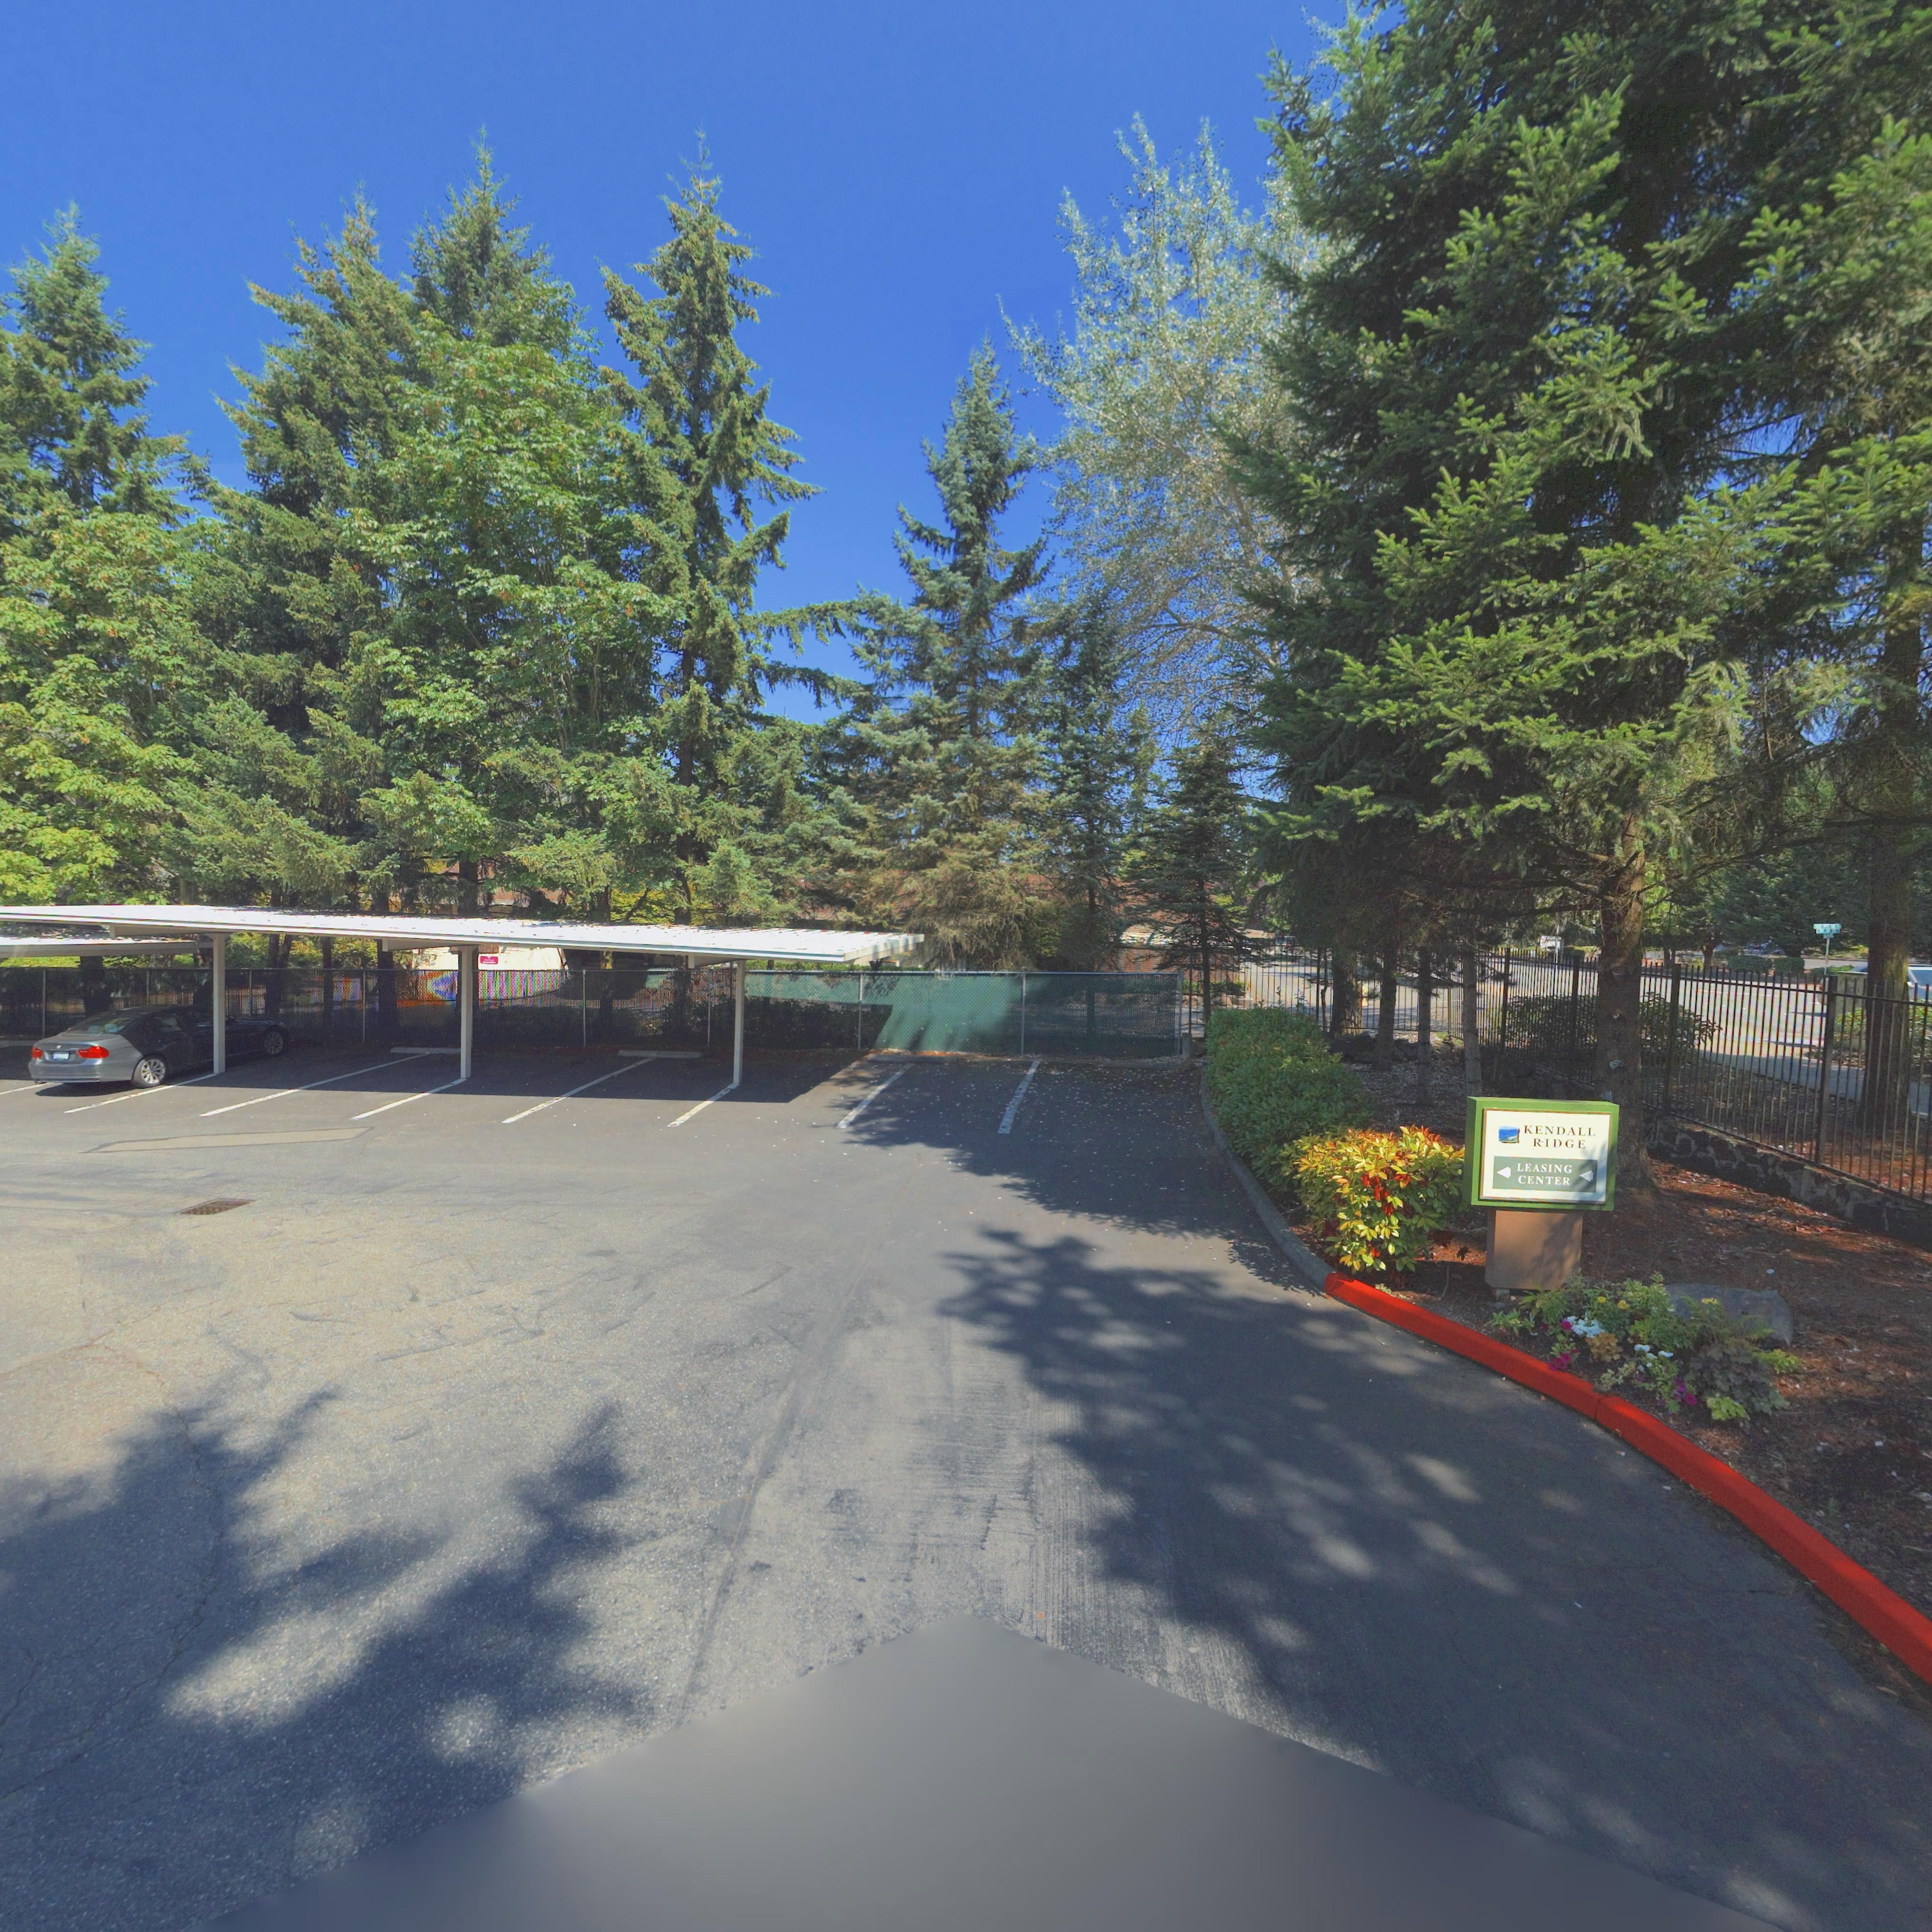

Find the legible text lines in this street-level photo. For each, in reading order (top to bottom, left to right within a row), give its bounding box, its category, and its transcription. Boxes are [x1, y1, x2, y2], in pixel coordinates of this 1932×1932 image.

[1524, 1124, 1596, 1137] BusinessName: KENDALL
[1532, 1138, 1586, 1149] BusinessName: RIDGE
[1517, 1163, 1575, 1174] BusinessName: LEASING
[1517, 1174, 1572, 1186] BusinessName: CENTER